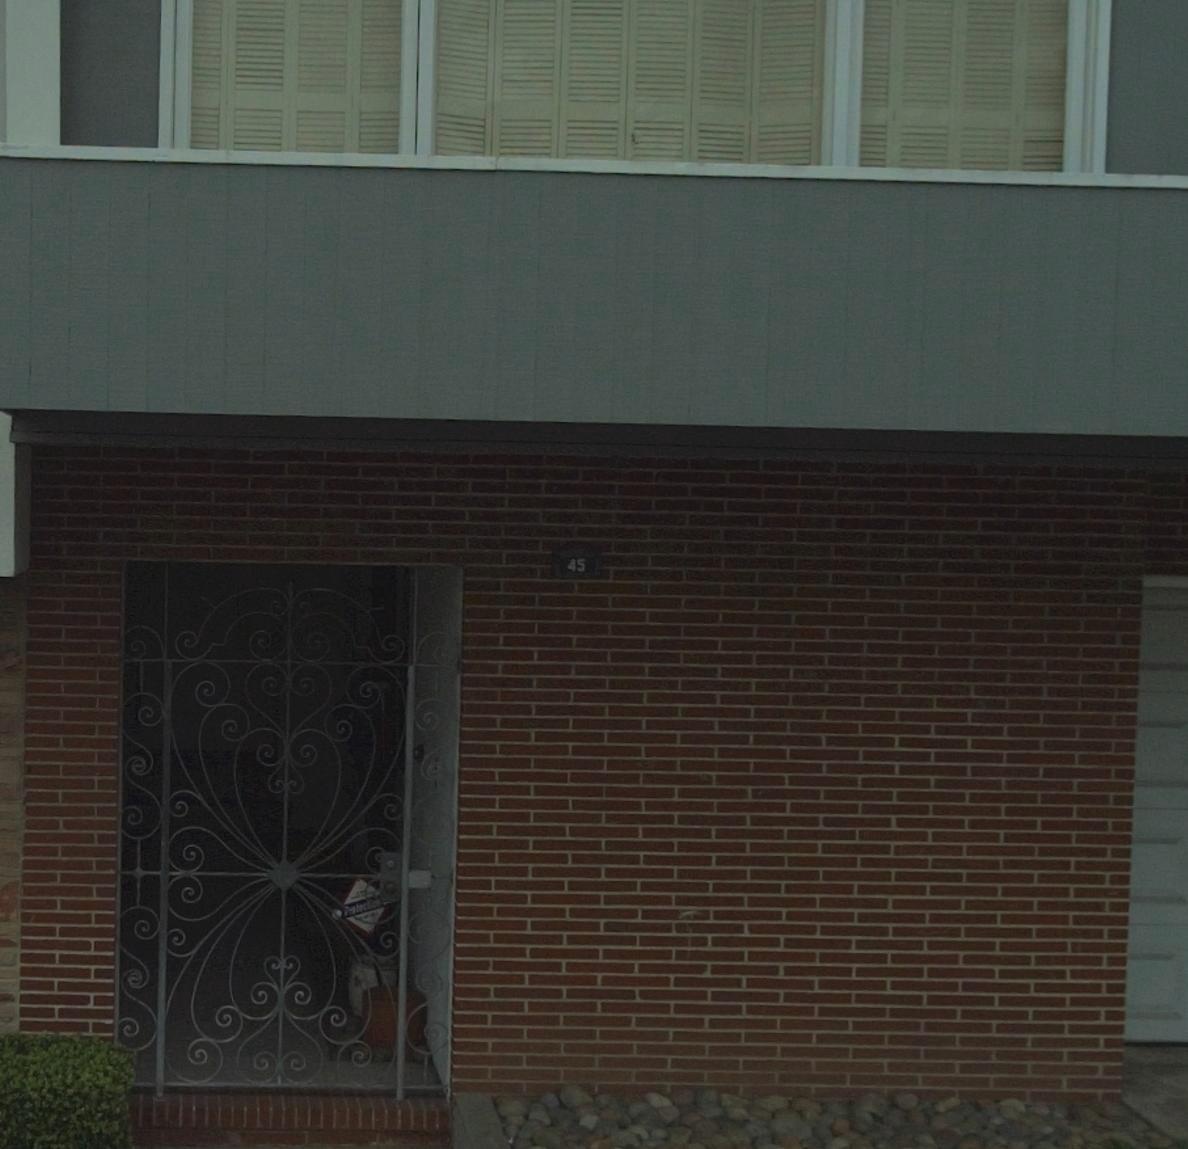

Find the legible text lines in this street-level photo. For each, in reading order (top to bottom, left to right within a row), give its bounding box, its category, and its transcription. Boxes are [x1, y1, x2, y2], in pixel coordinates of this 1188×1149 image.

[566, 557, 587, 573] StreetNumber: 45
[343, 897, 388, 919] None: **otectio*